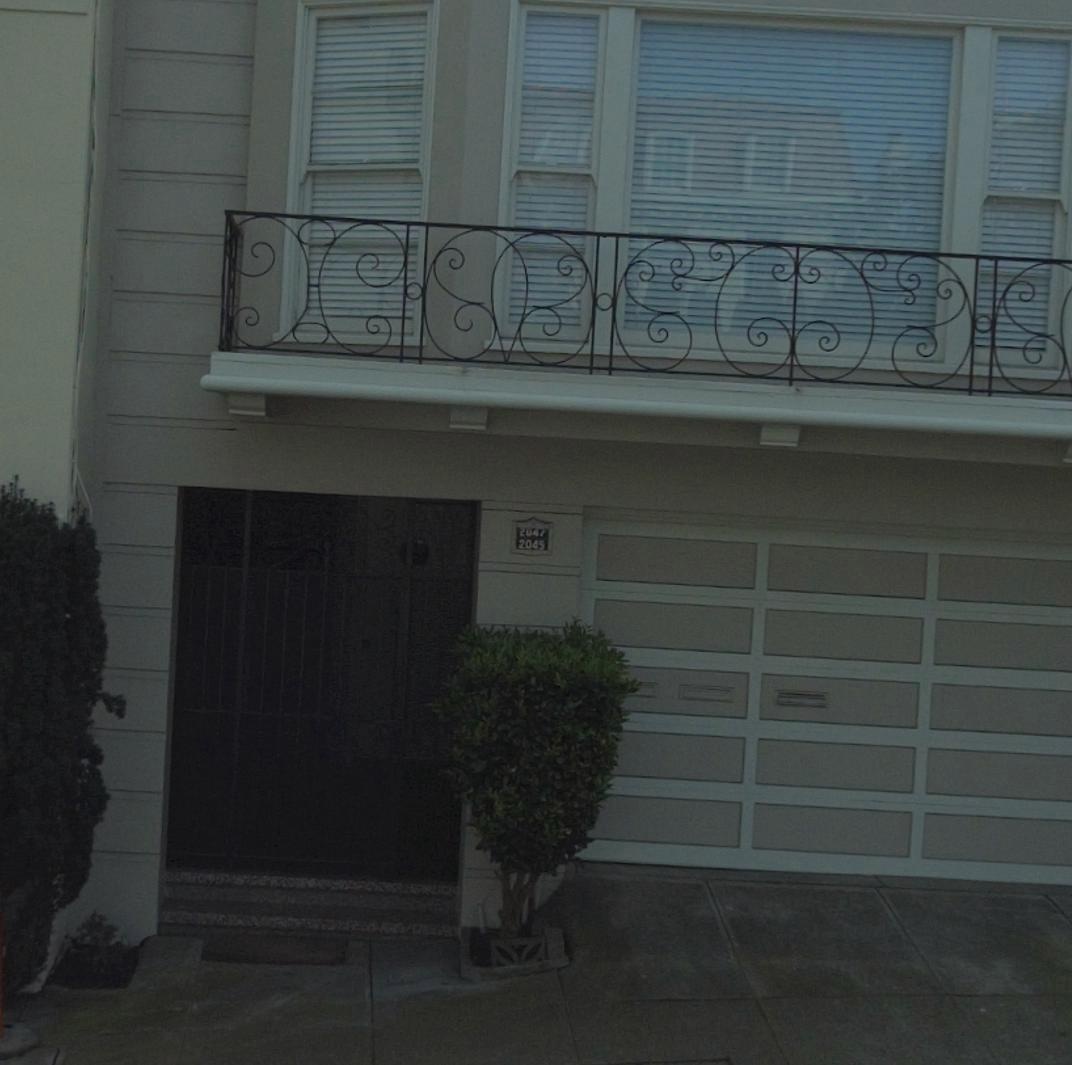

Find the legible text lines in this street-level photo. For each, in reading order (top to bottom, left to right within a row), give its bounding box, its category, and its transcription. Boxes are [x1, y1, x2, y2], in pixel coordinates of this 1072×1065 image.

[517, 525, 549, 541] StreetNumber: 204*
[516, 536, 547, 554] StreetNumber: 2045